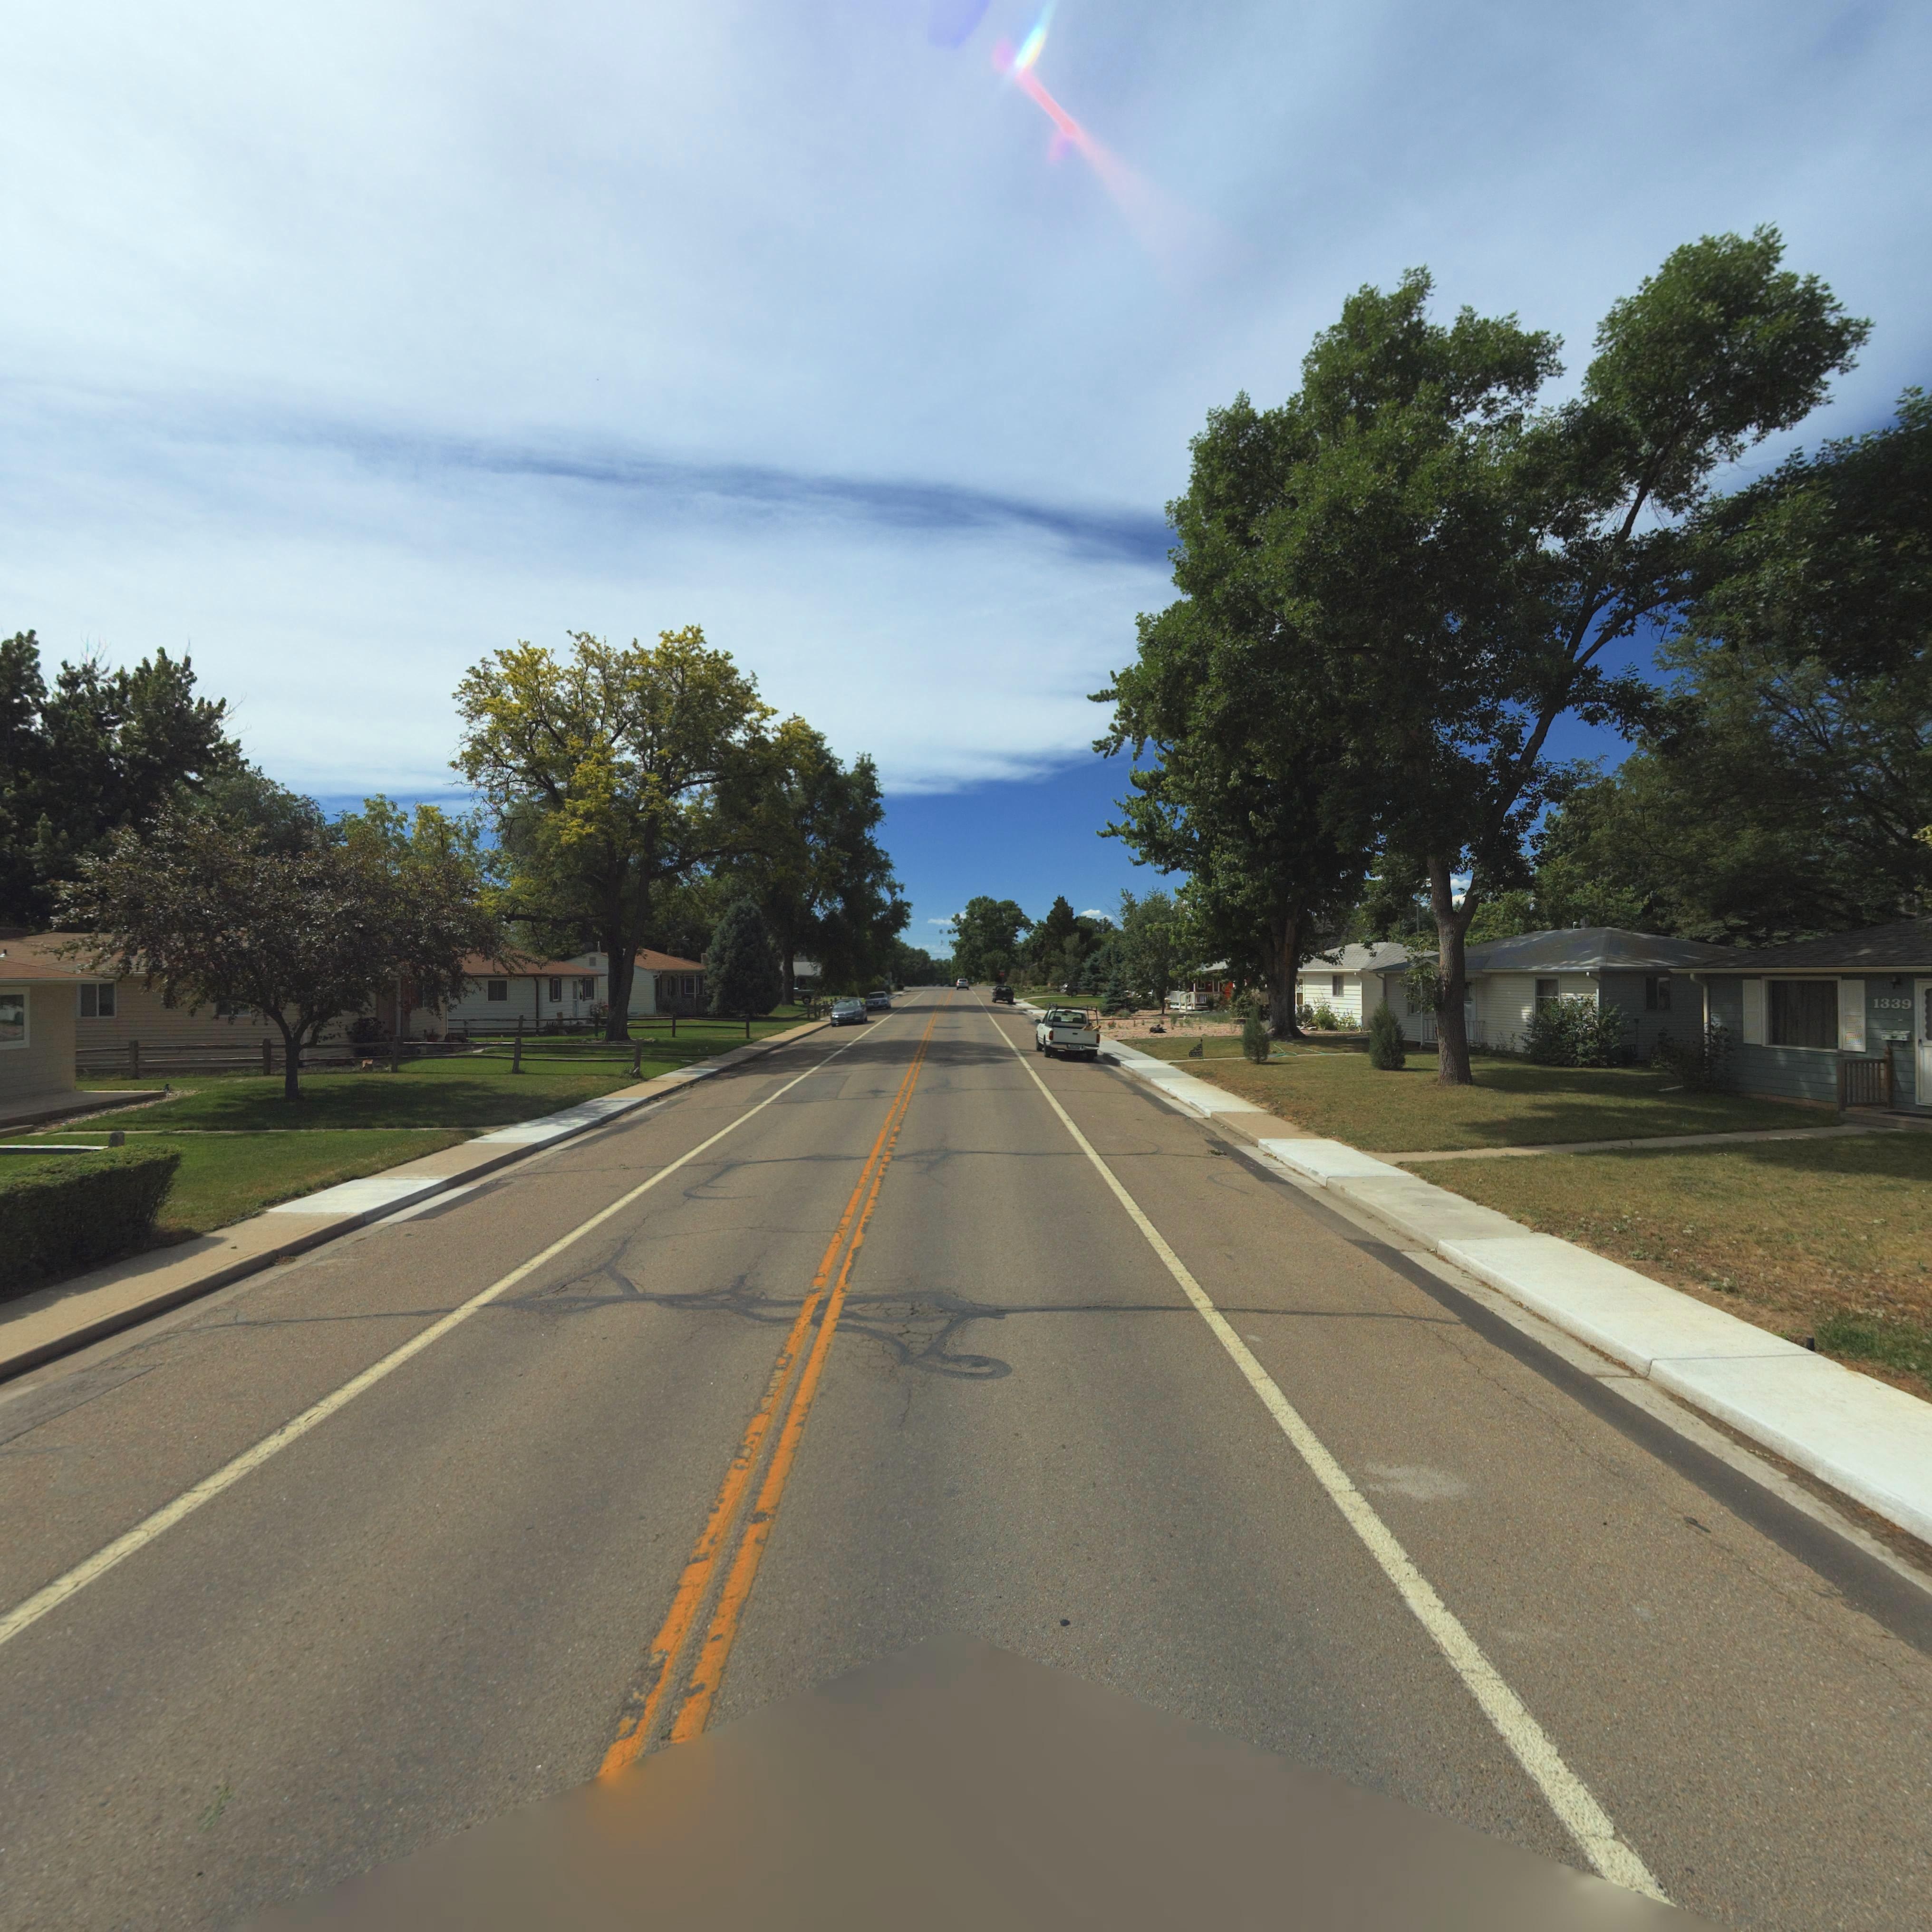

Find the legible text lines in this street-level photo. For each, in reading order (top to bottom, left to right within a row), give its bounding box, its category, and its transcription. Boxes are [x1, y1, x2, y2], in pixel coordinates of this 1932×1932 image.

[1873, 998, 1912, 1009] StreetNumber: 1339
[1189, 1052, 1202, 1057] StreetNumber: 1335